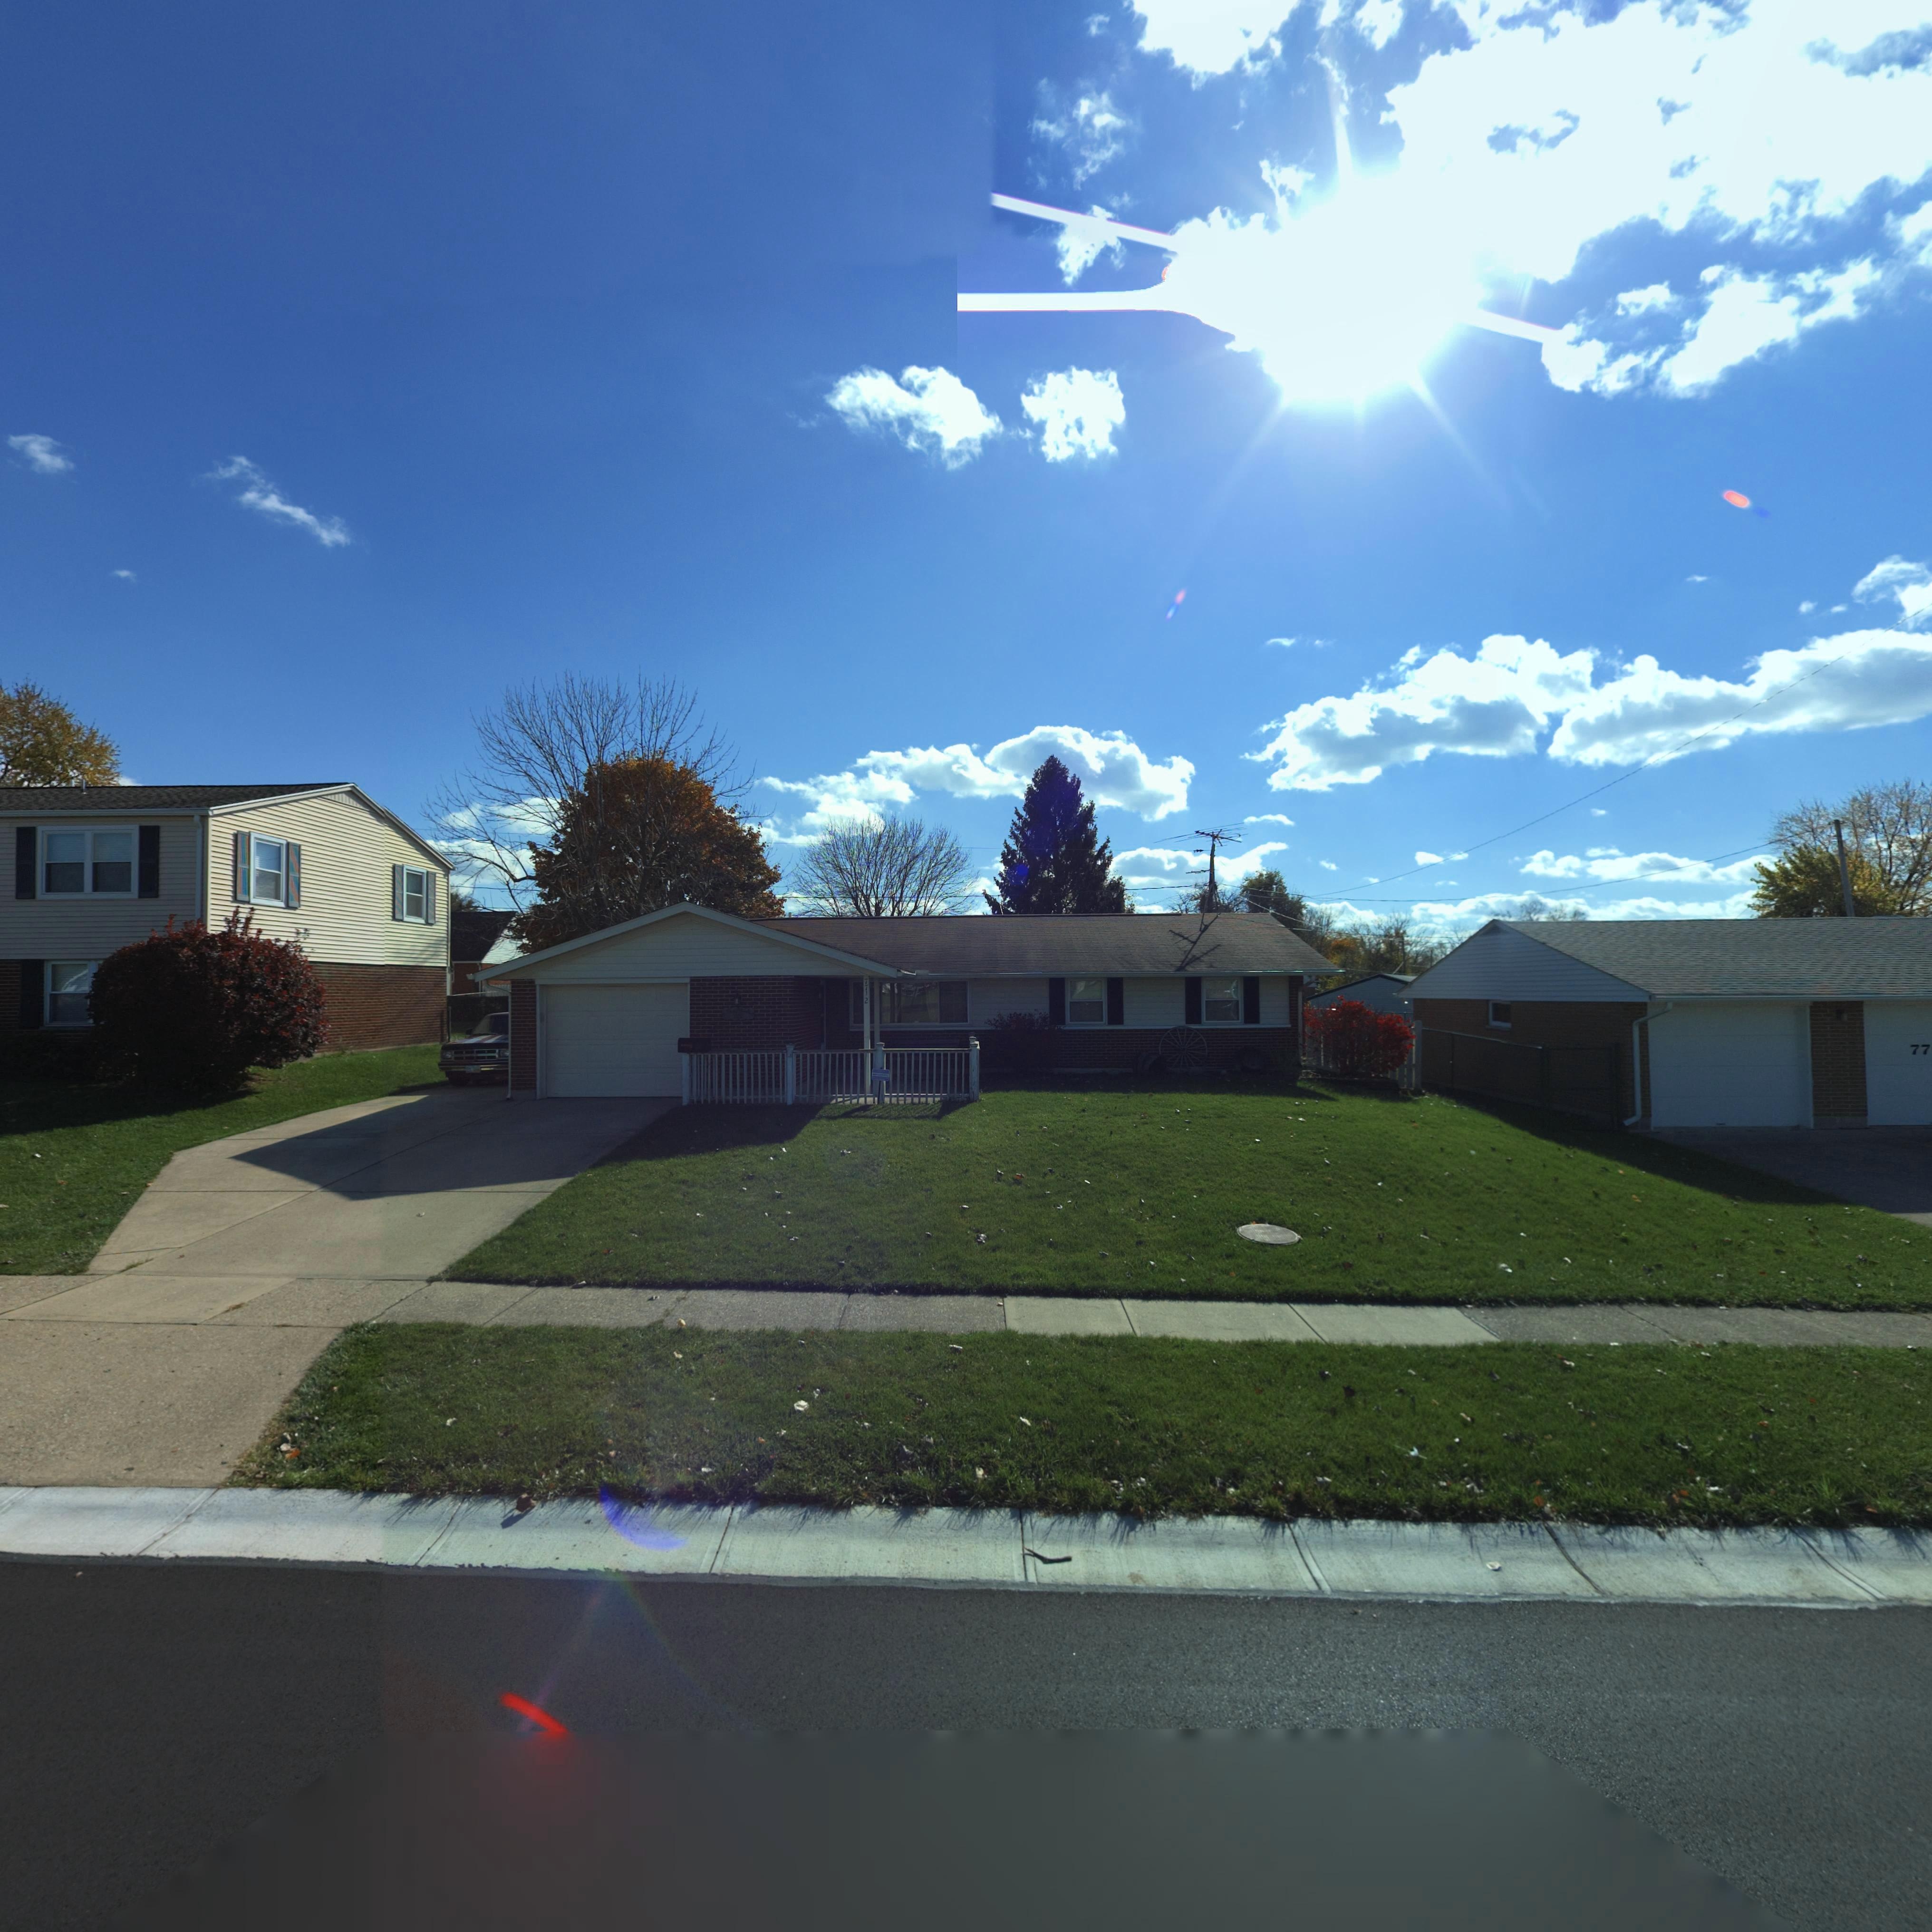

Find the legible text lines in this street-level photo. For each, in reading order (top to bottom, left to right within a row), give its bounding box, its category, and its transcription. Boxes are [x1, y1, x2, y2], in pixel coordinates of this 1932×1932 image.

[863, 977, 869, 1004] StreetNumber: 7712
[732, 1014, 744, 1019] StreetNumber: 77**
[1909, 1044, 1931, 1055] StreetNumber: 77